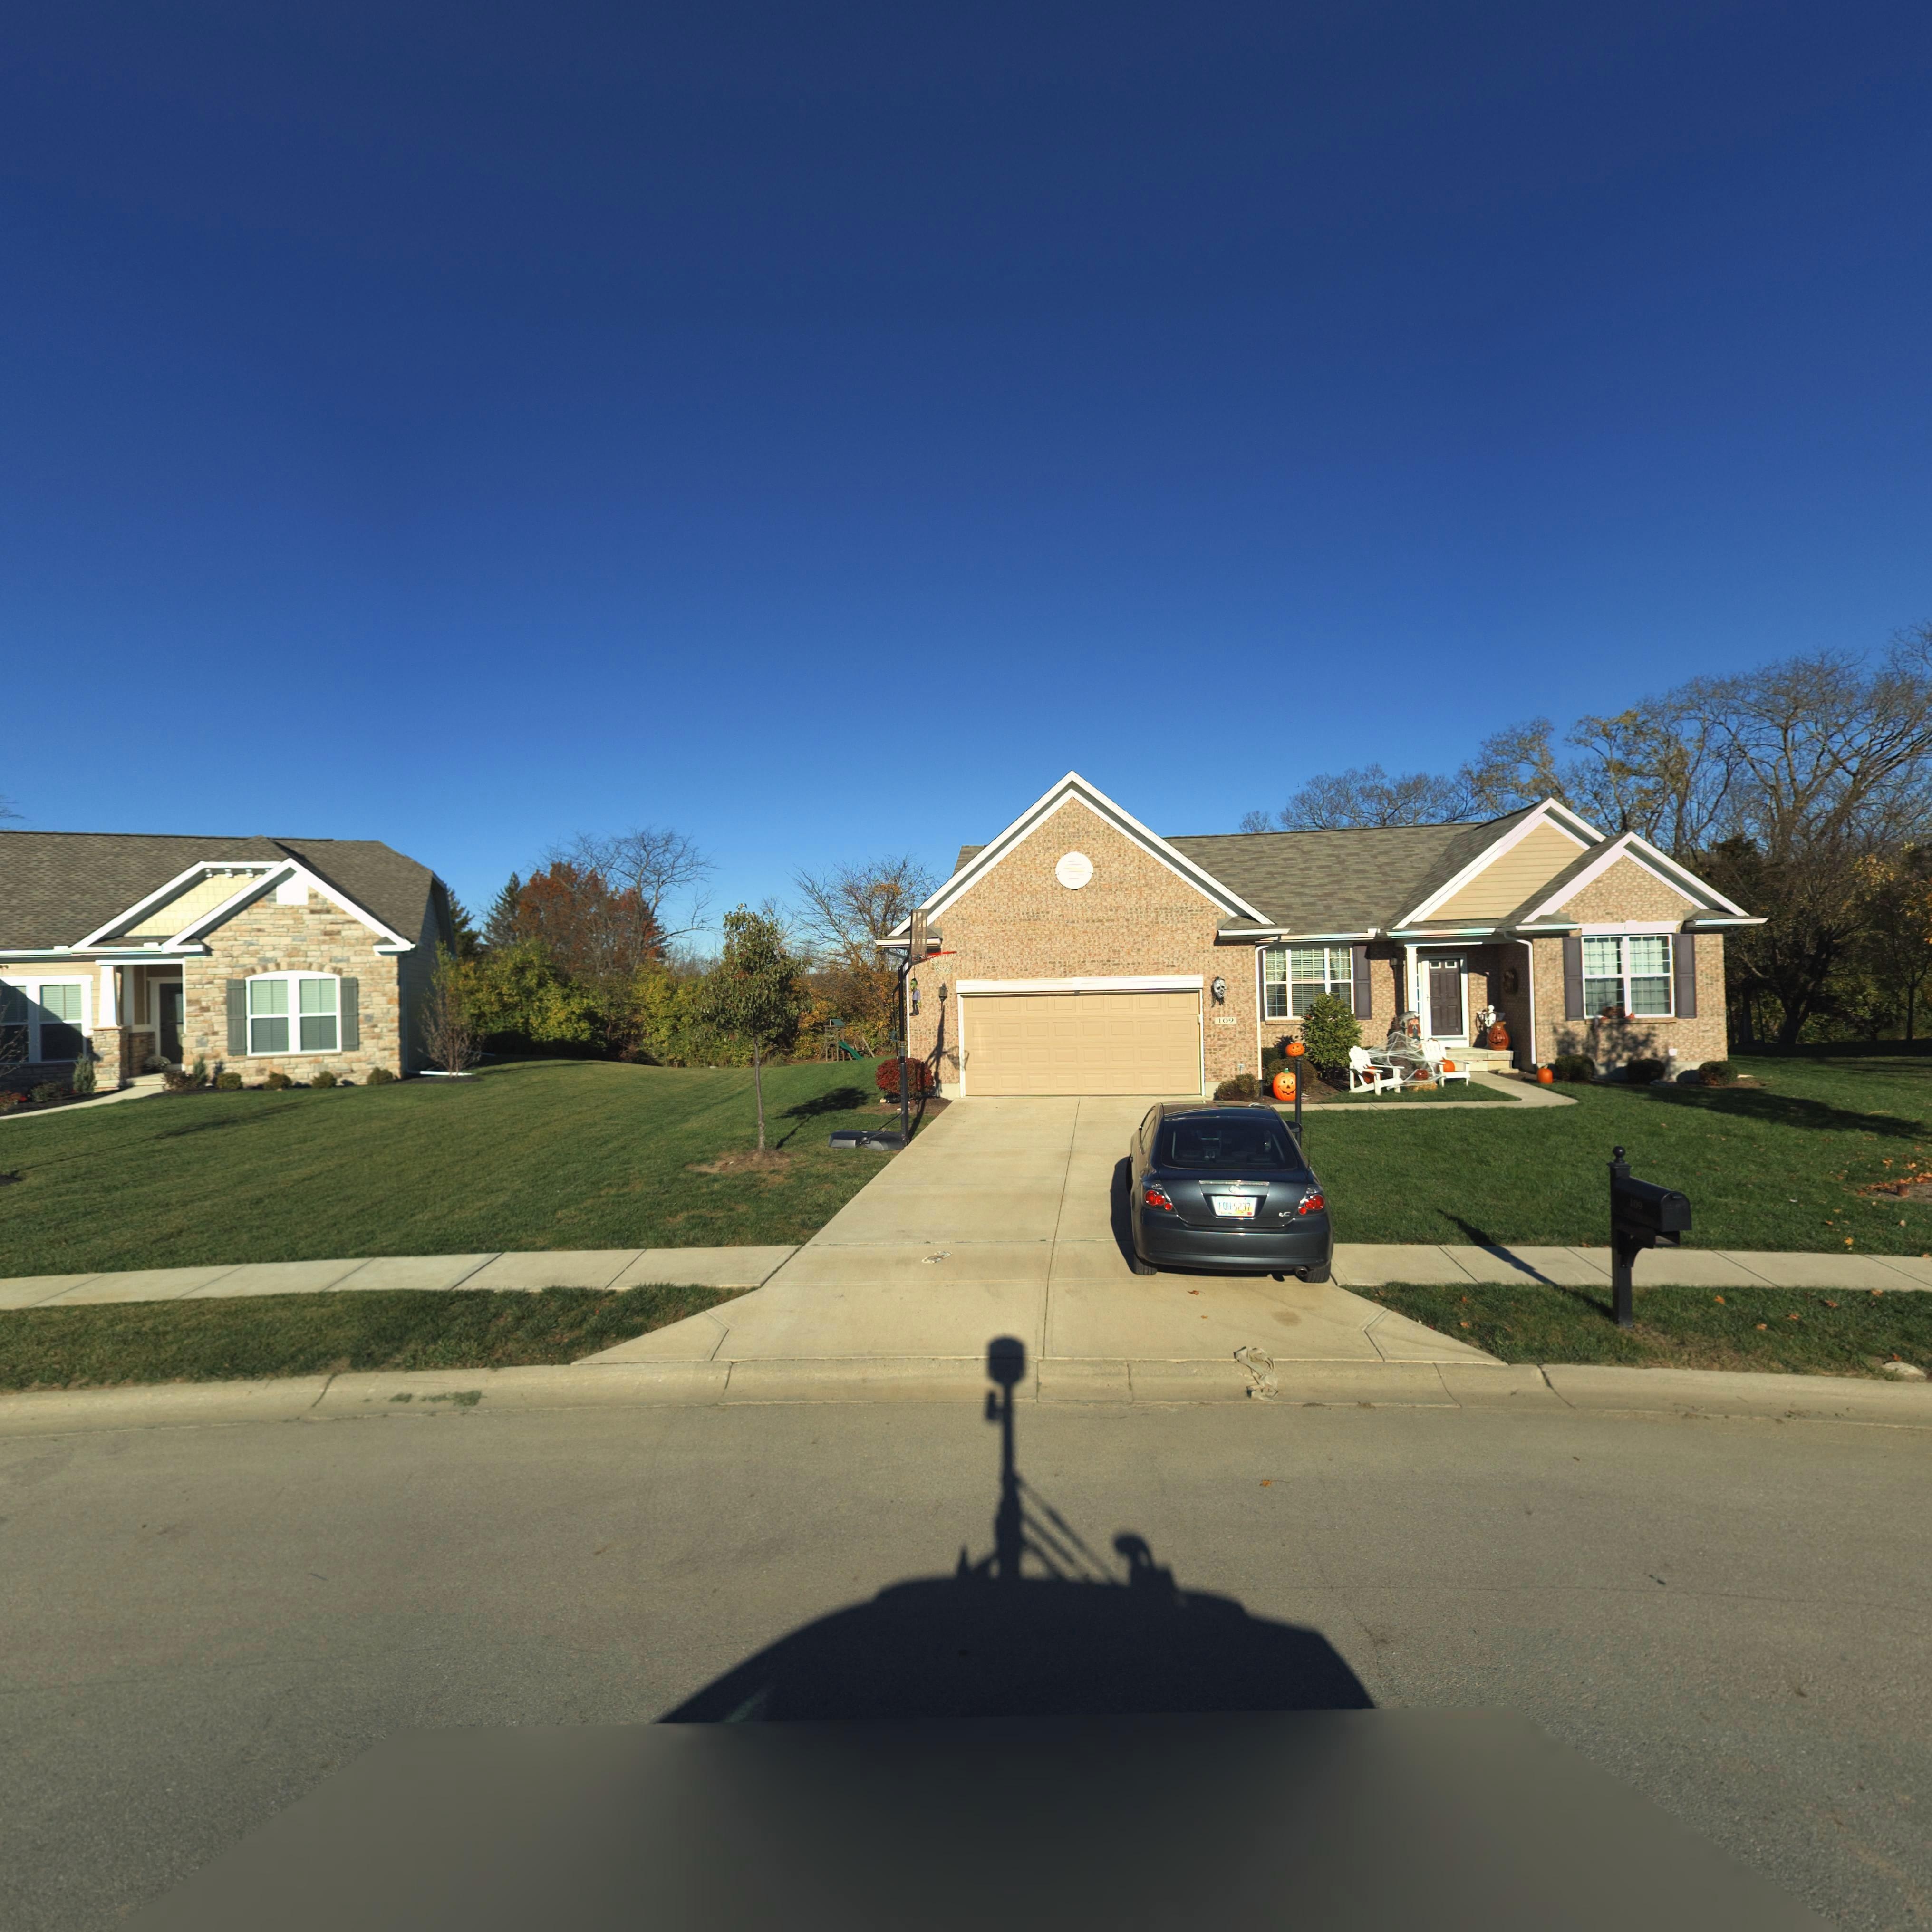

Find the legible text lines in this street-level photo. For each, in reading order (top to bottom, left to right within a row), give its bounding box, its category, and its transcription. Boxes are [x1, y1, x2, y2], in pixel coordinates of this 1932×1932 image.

[1217, 1017, 1234, 1024] StreetNumber: 109
[1216, 1199, 1252, 1213] None: *** 5237
[1628, 1197, 1643, 1210] StreetNumber: 109
[1283, 1210, 1292, 1218] None: C